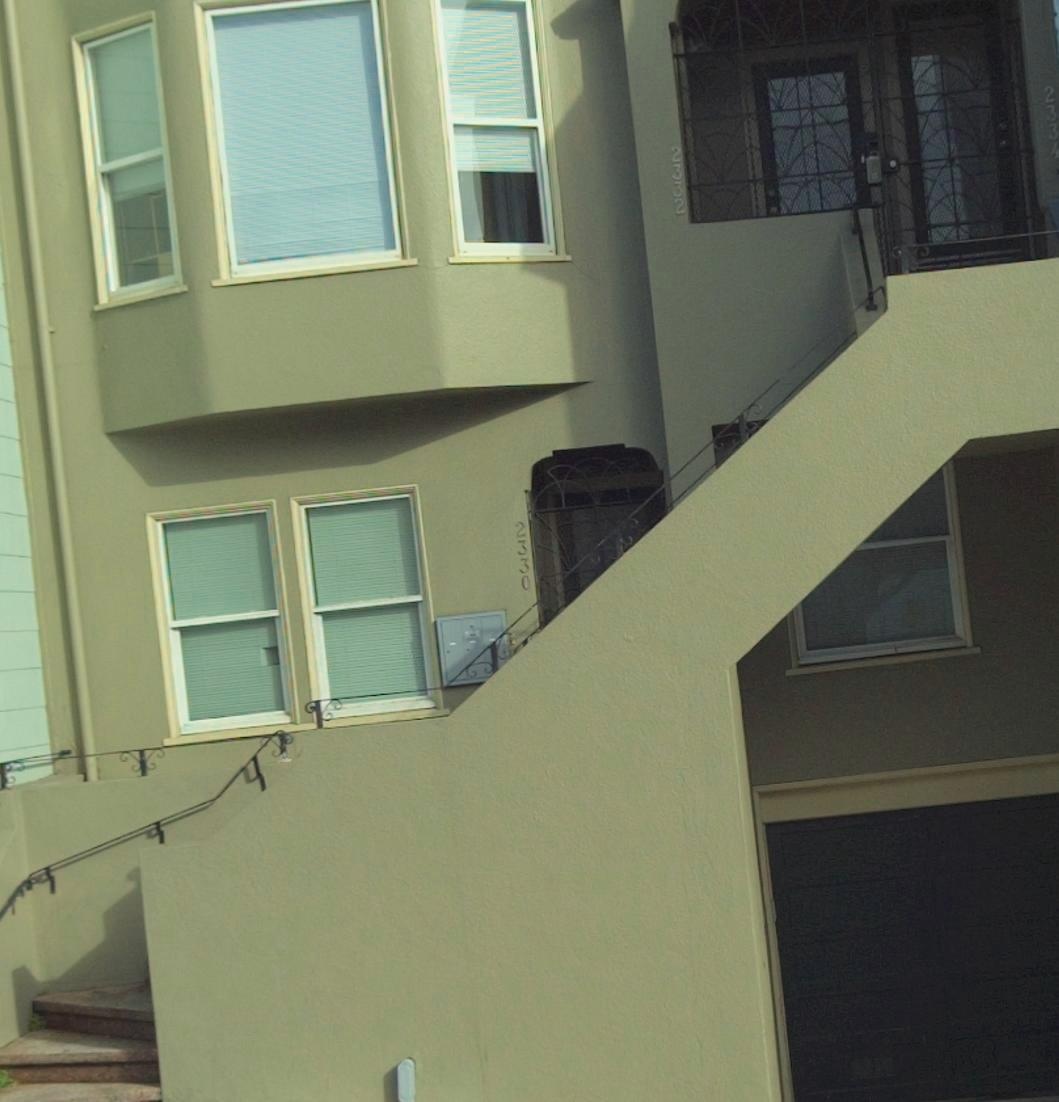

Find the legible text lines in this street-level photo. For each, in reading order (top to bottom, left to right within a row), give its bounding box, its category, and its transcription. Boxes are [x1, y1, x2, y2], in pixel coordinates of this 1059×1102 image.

[511, 517, 535, 593] StreetNumber: 2330